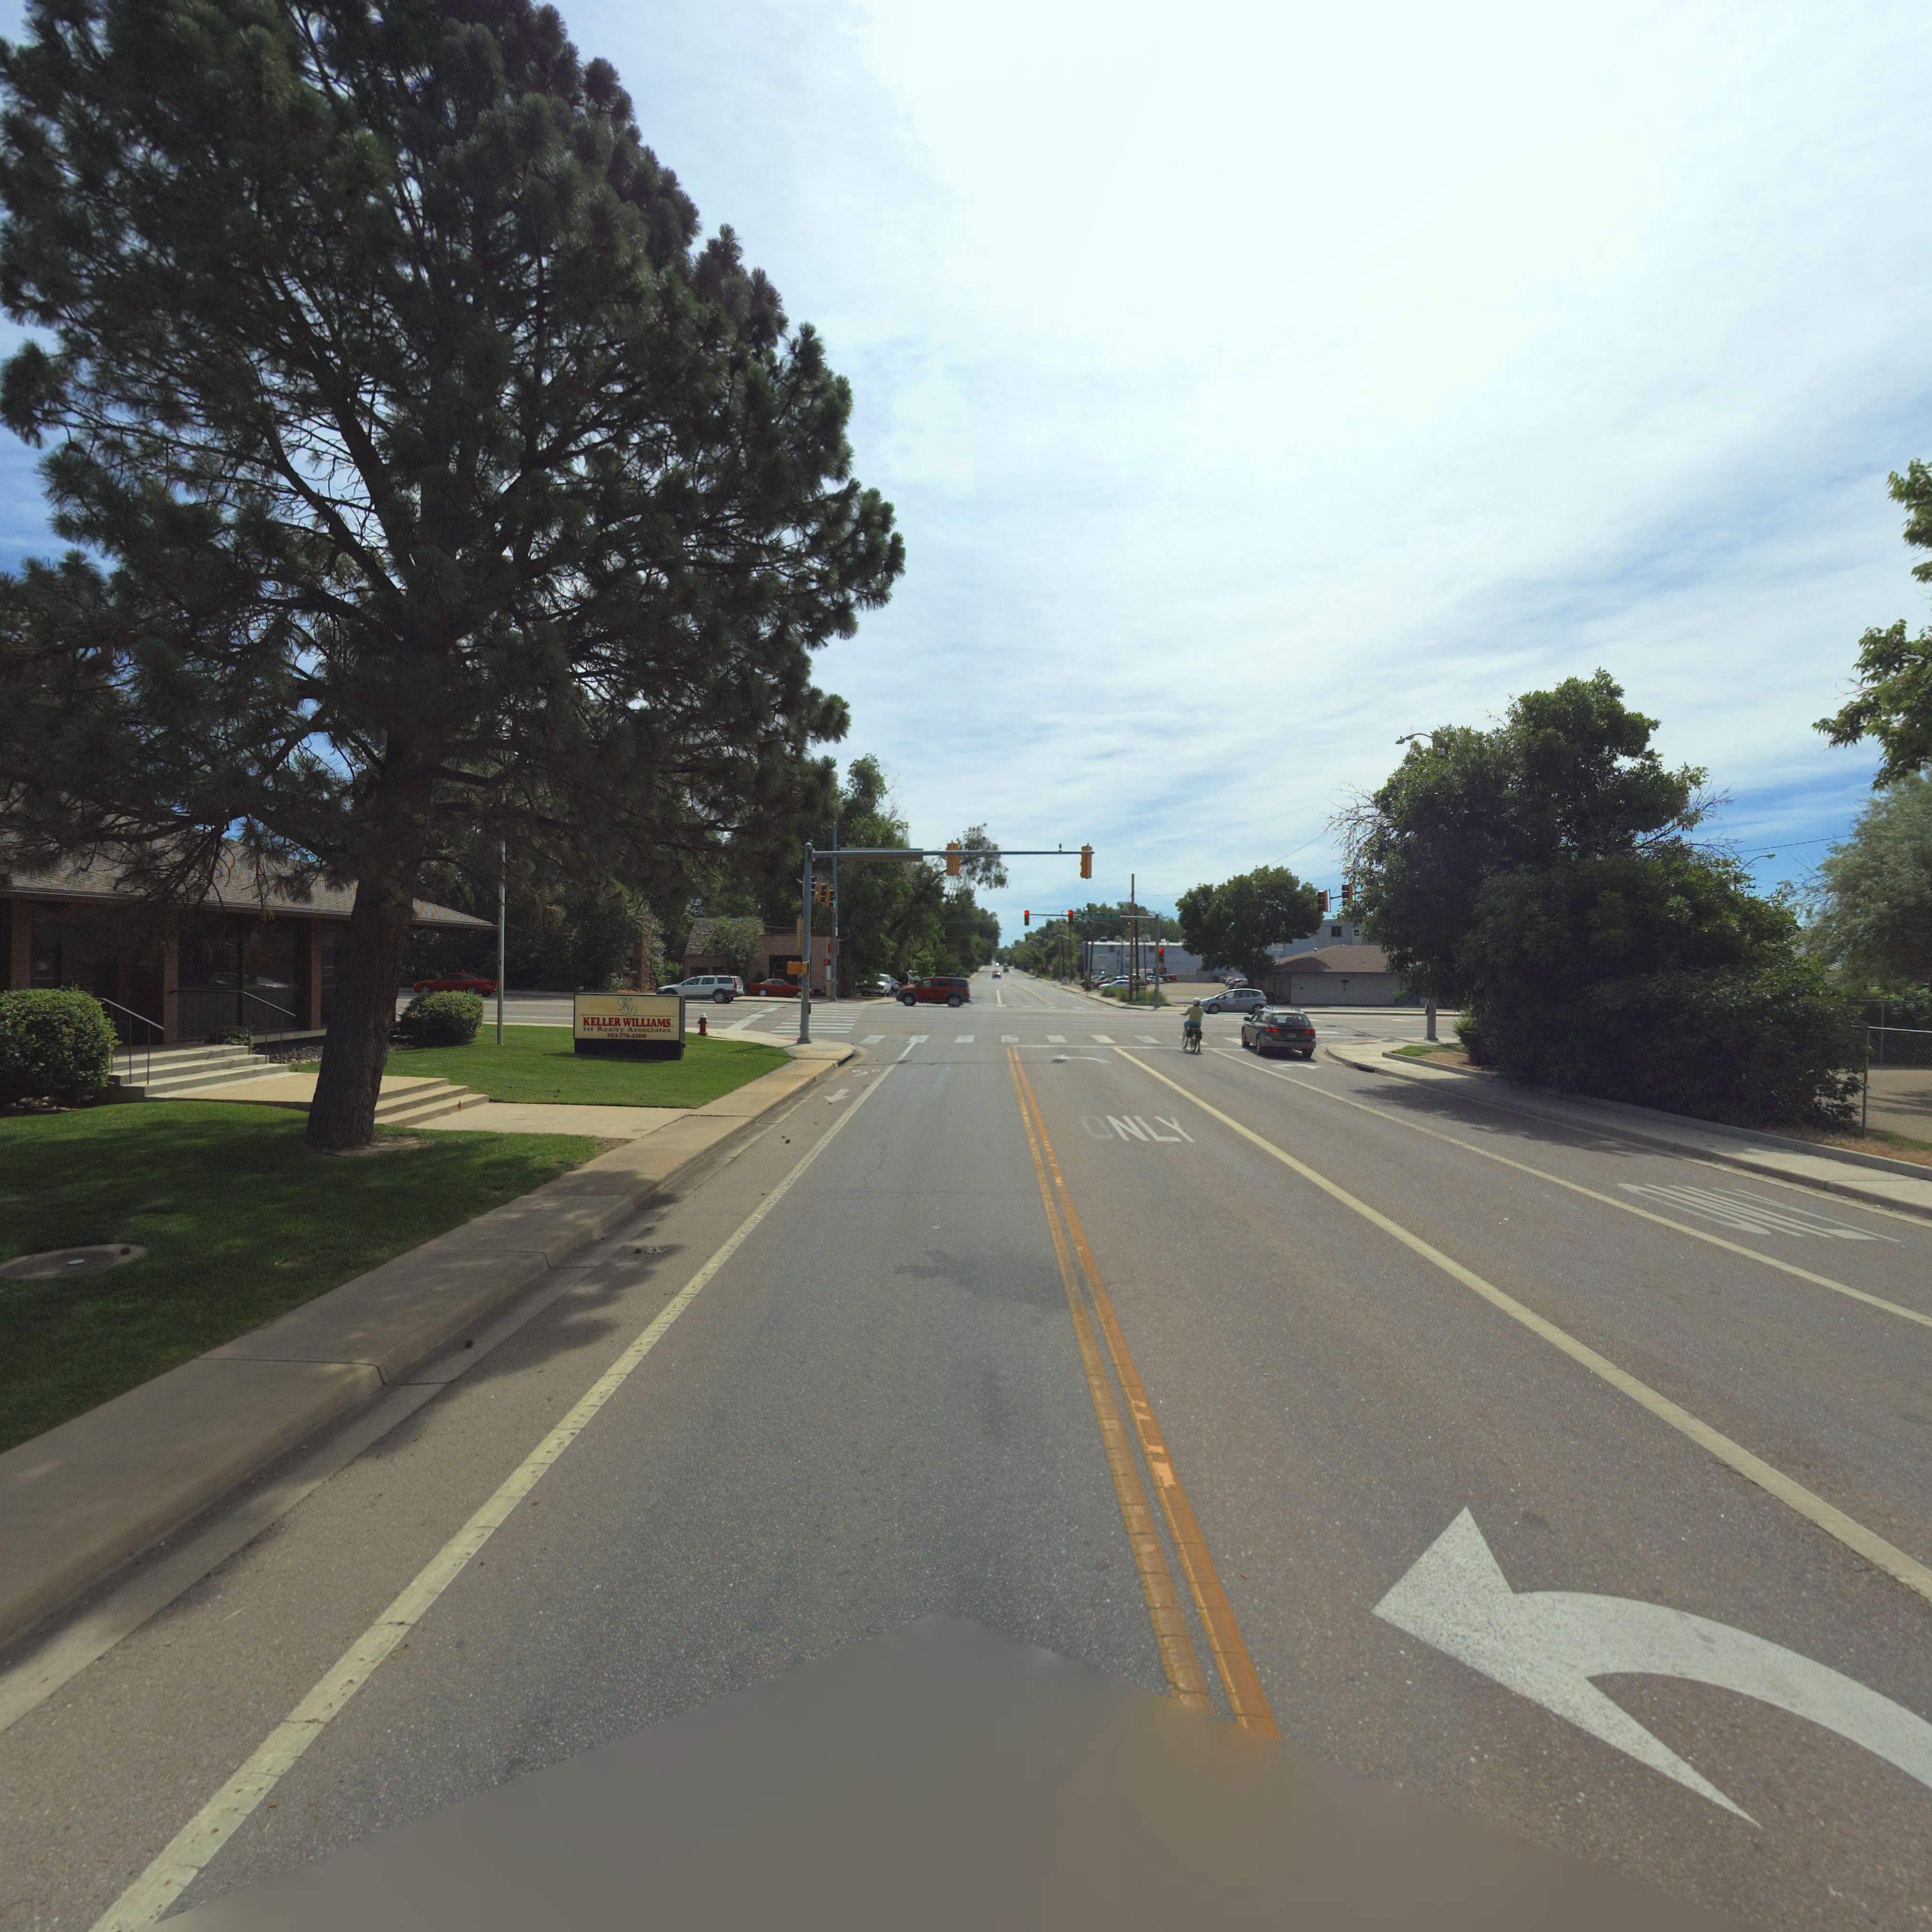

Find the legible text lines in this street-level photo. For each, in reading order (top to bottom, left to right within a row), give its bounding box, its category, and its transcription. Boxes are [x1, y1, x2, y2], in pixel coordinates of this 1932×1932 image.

[1090, 913, 1111, 919] StreetName: **** S*
[582, 1017, 671, 1027] BusinessName: KELLER WILLIAMS
[583, 1026, 671, 1033] BusinessName: 1st Realty Associates